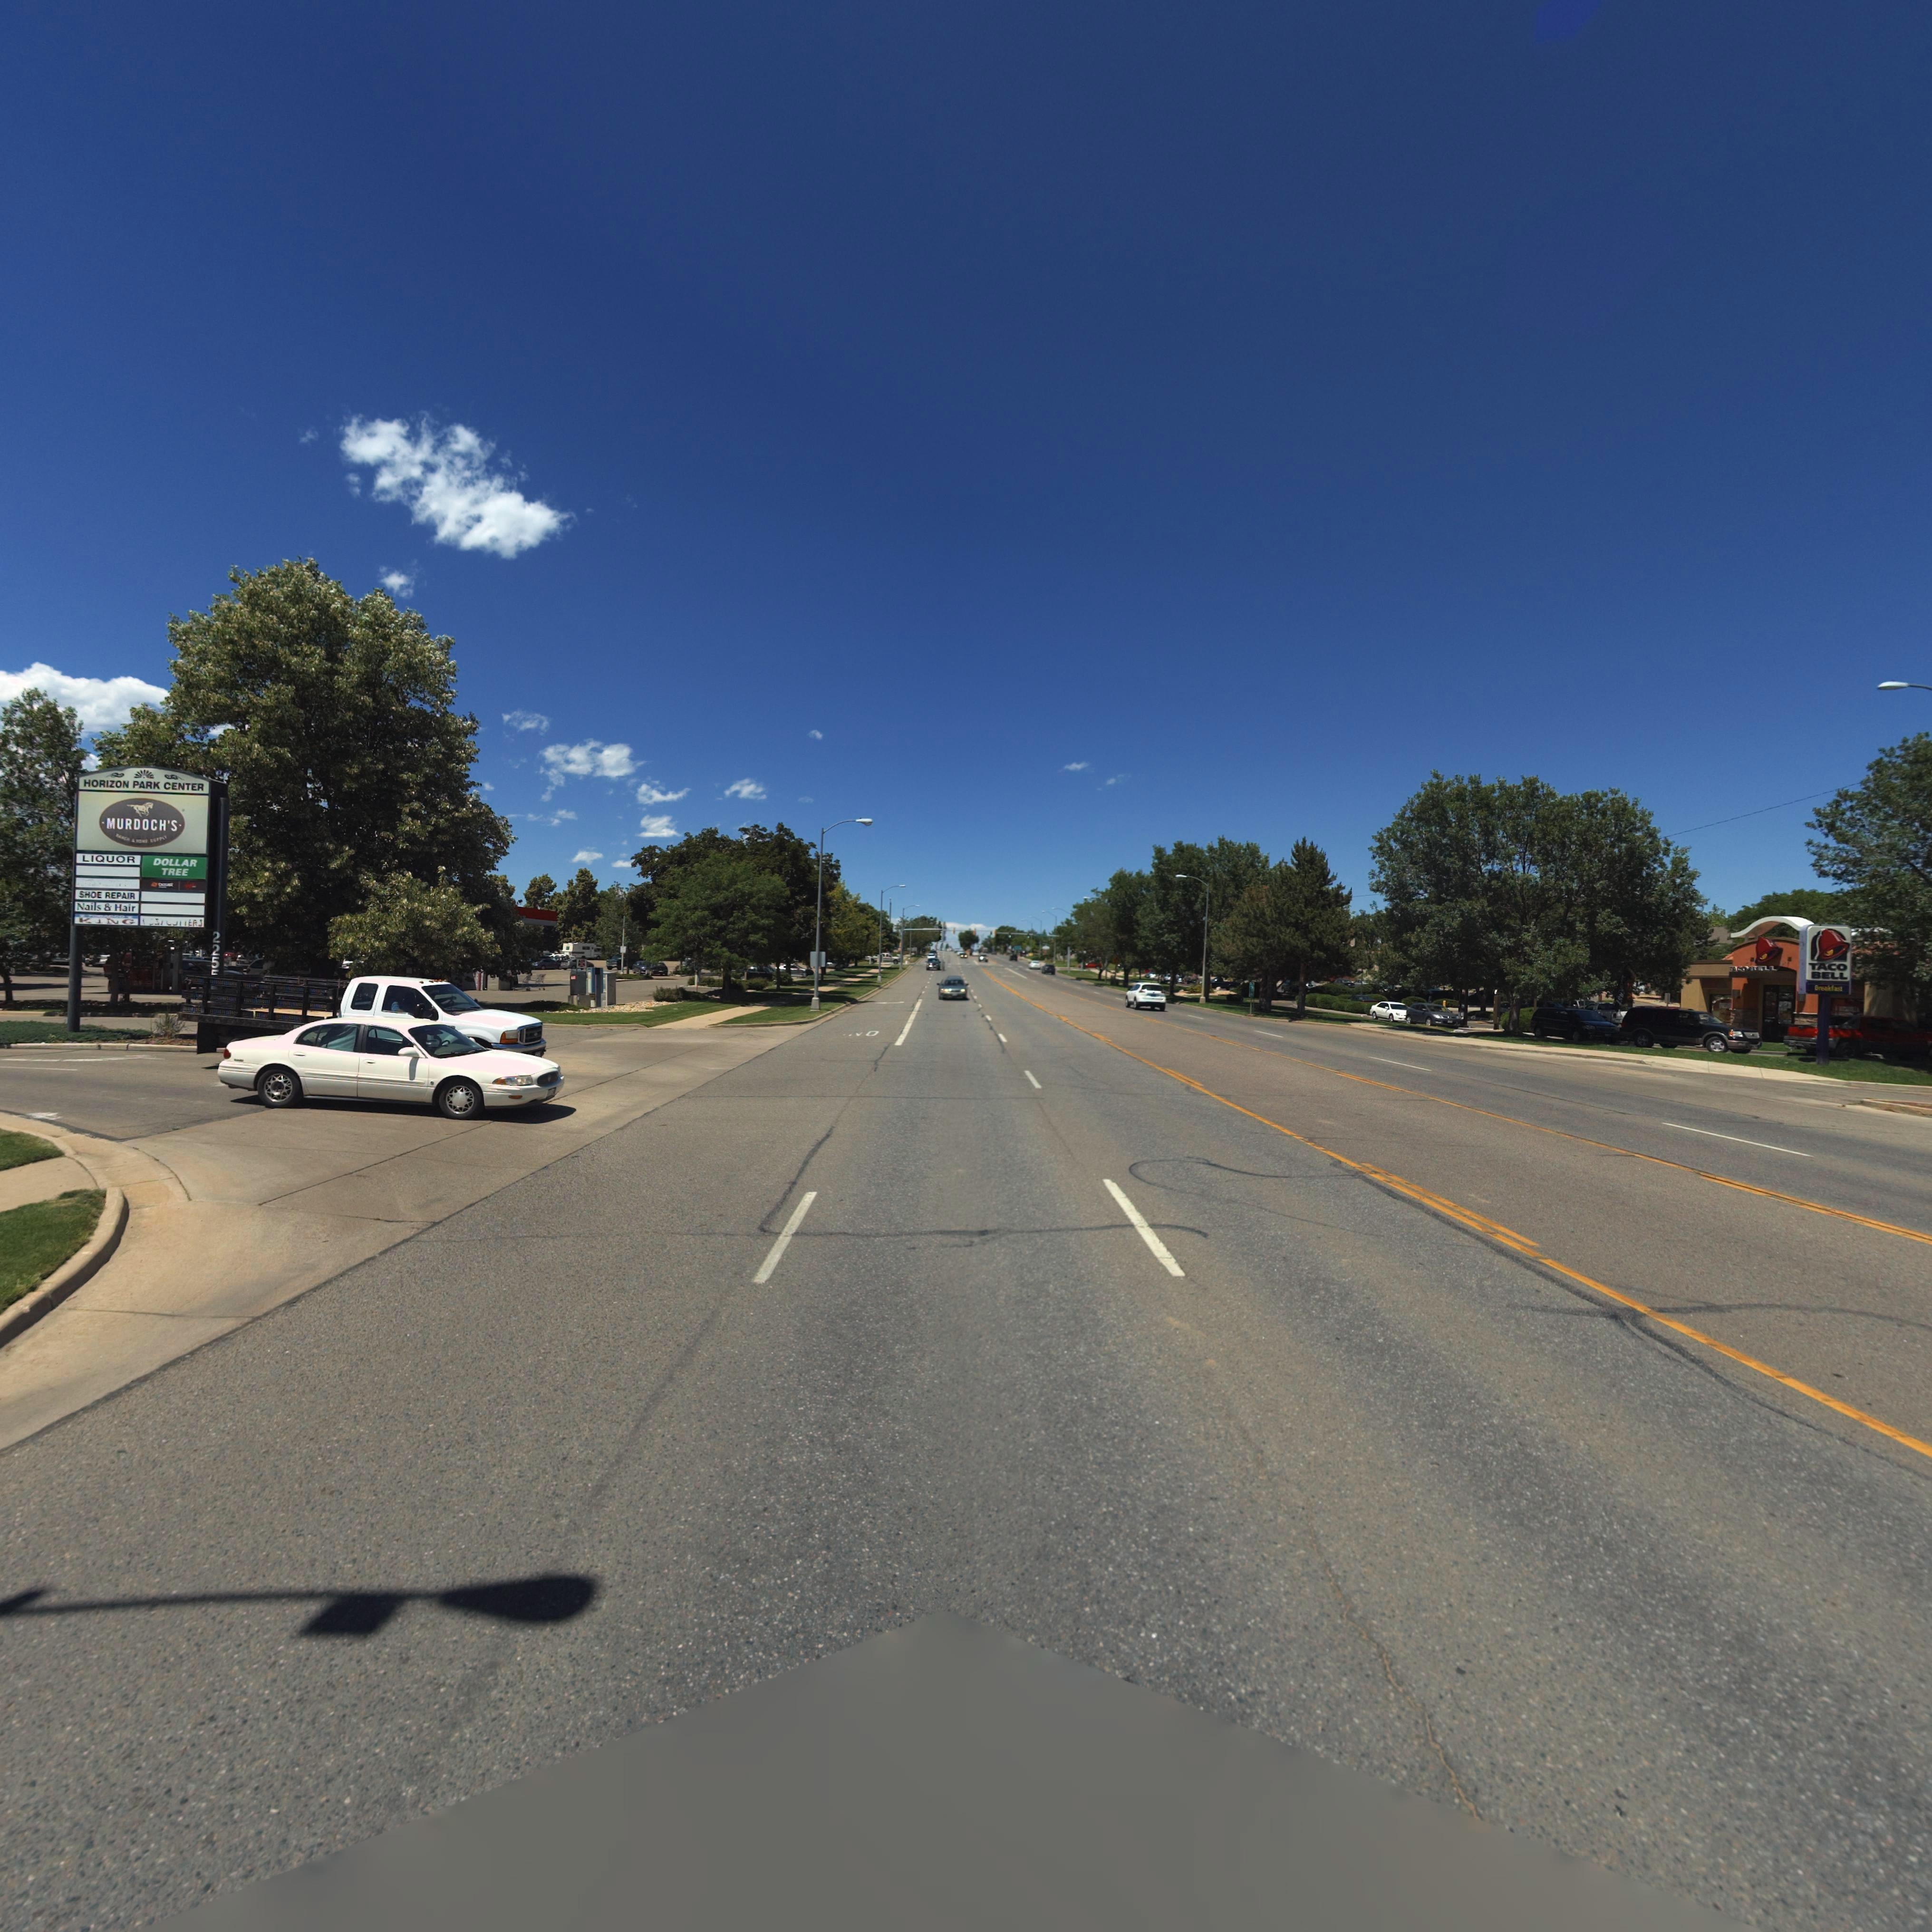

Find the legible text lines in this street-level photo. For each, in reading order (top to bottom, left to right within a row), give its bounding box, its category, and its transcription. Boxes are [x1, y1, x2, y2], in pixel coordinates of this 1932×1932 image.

[106, 817, 178, 831] BusinessName: MURDOCH'S
[152, 858, 198, 867] BusinessName: DOLLAR
[161, 868, 189, 876] BusinessName: TREE
[79, 917, 135, 925] BusinessName: K**G
[211, 931, 221, 975] StreetNumber: 225*
[1729, 965, 1777, 972] BusinessName: *ACO*ELL
[1807, 962, 1847, 971] BusinessName: TACO
[1811, 971, 1847, 979] BusinessName: BELL